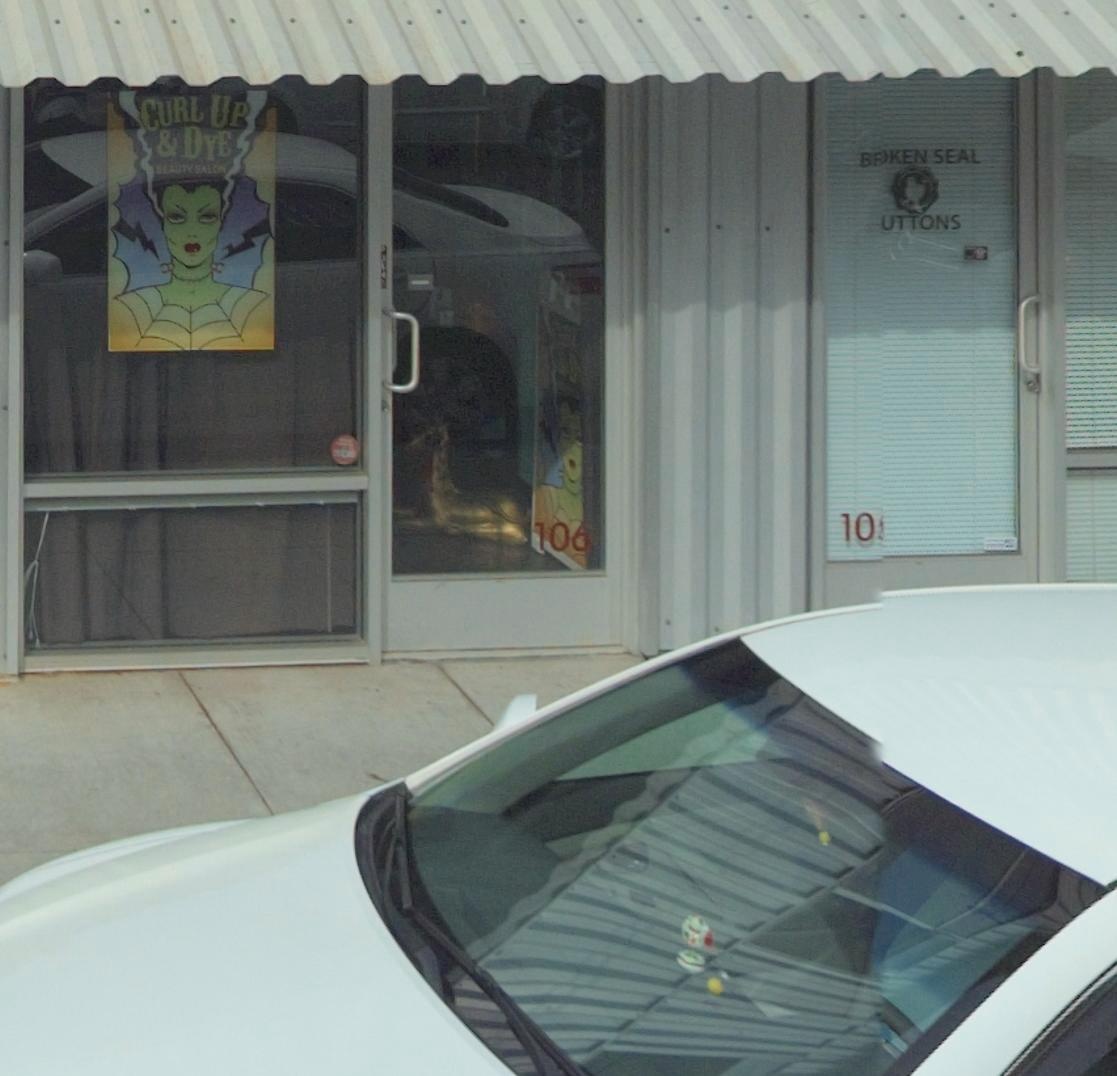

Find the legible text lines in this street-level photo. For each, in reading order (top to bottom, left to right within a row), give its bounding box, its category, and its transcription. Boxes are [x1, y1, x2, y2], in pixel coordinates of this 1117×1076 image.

[139, 94, 251, 133] BusinessName: CURL UP
[154, 163, 227, 175] BusinessName: BEAUTY SALON
[181, 124, 235, 162] BusinessName: DYE
[859, 146, 985, 169] BusinessName: B**KEN SEAL
[879, 212, 962, 233] BusinessName: UTTONS
[533, 521, 592, 553] StreetNumber: 106
[838, 511, 878, 543] StreetNumber: 10